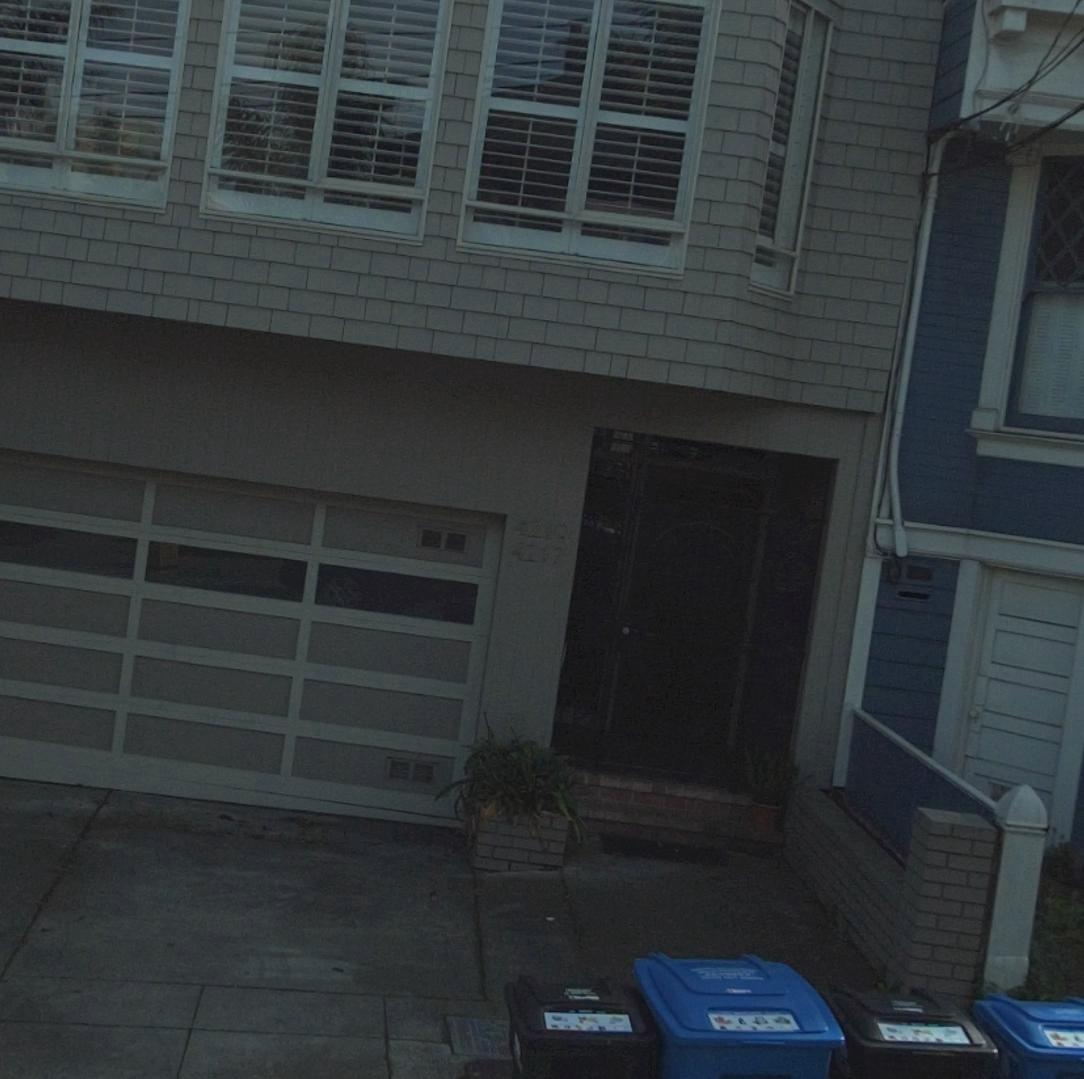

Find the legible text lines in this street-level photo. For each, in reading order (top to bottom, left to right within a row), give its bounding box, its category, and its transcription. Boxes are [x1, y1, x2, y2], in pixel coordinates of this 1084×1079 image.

[511, 514, 572, 541] StreetNumber: 4219
[511, 540, 567, 565] StreetNumber: 4217